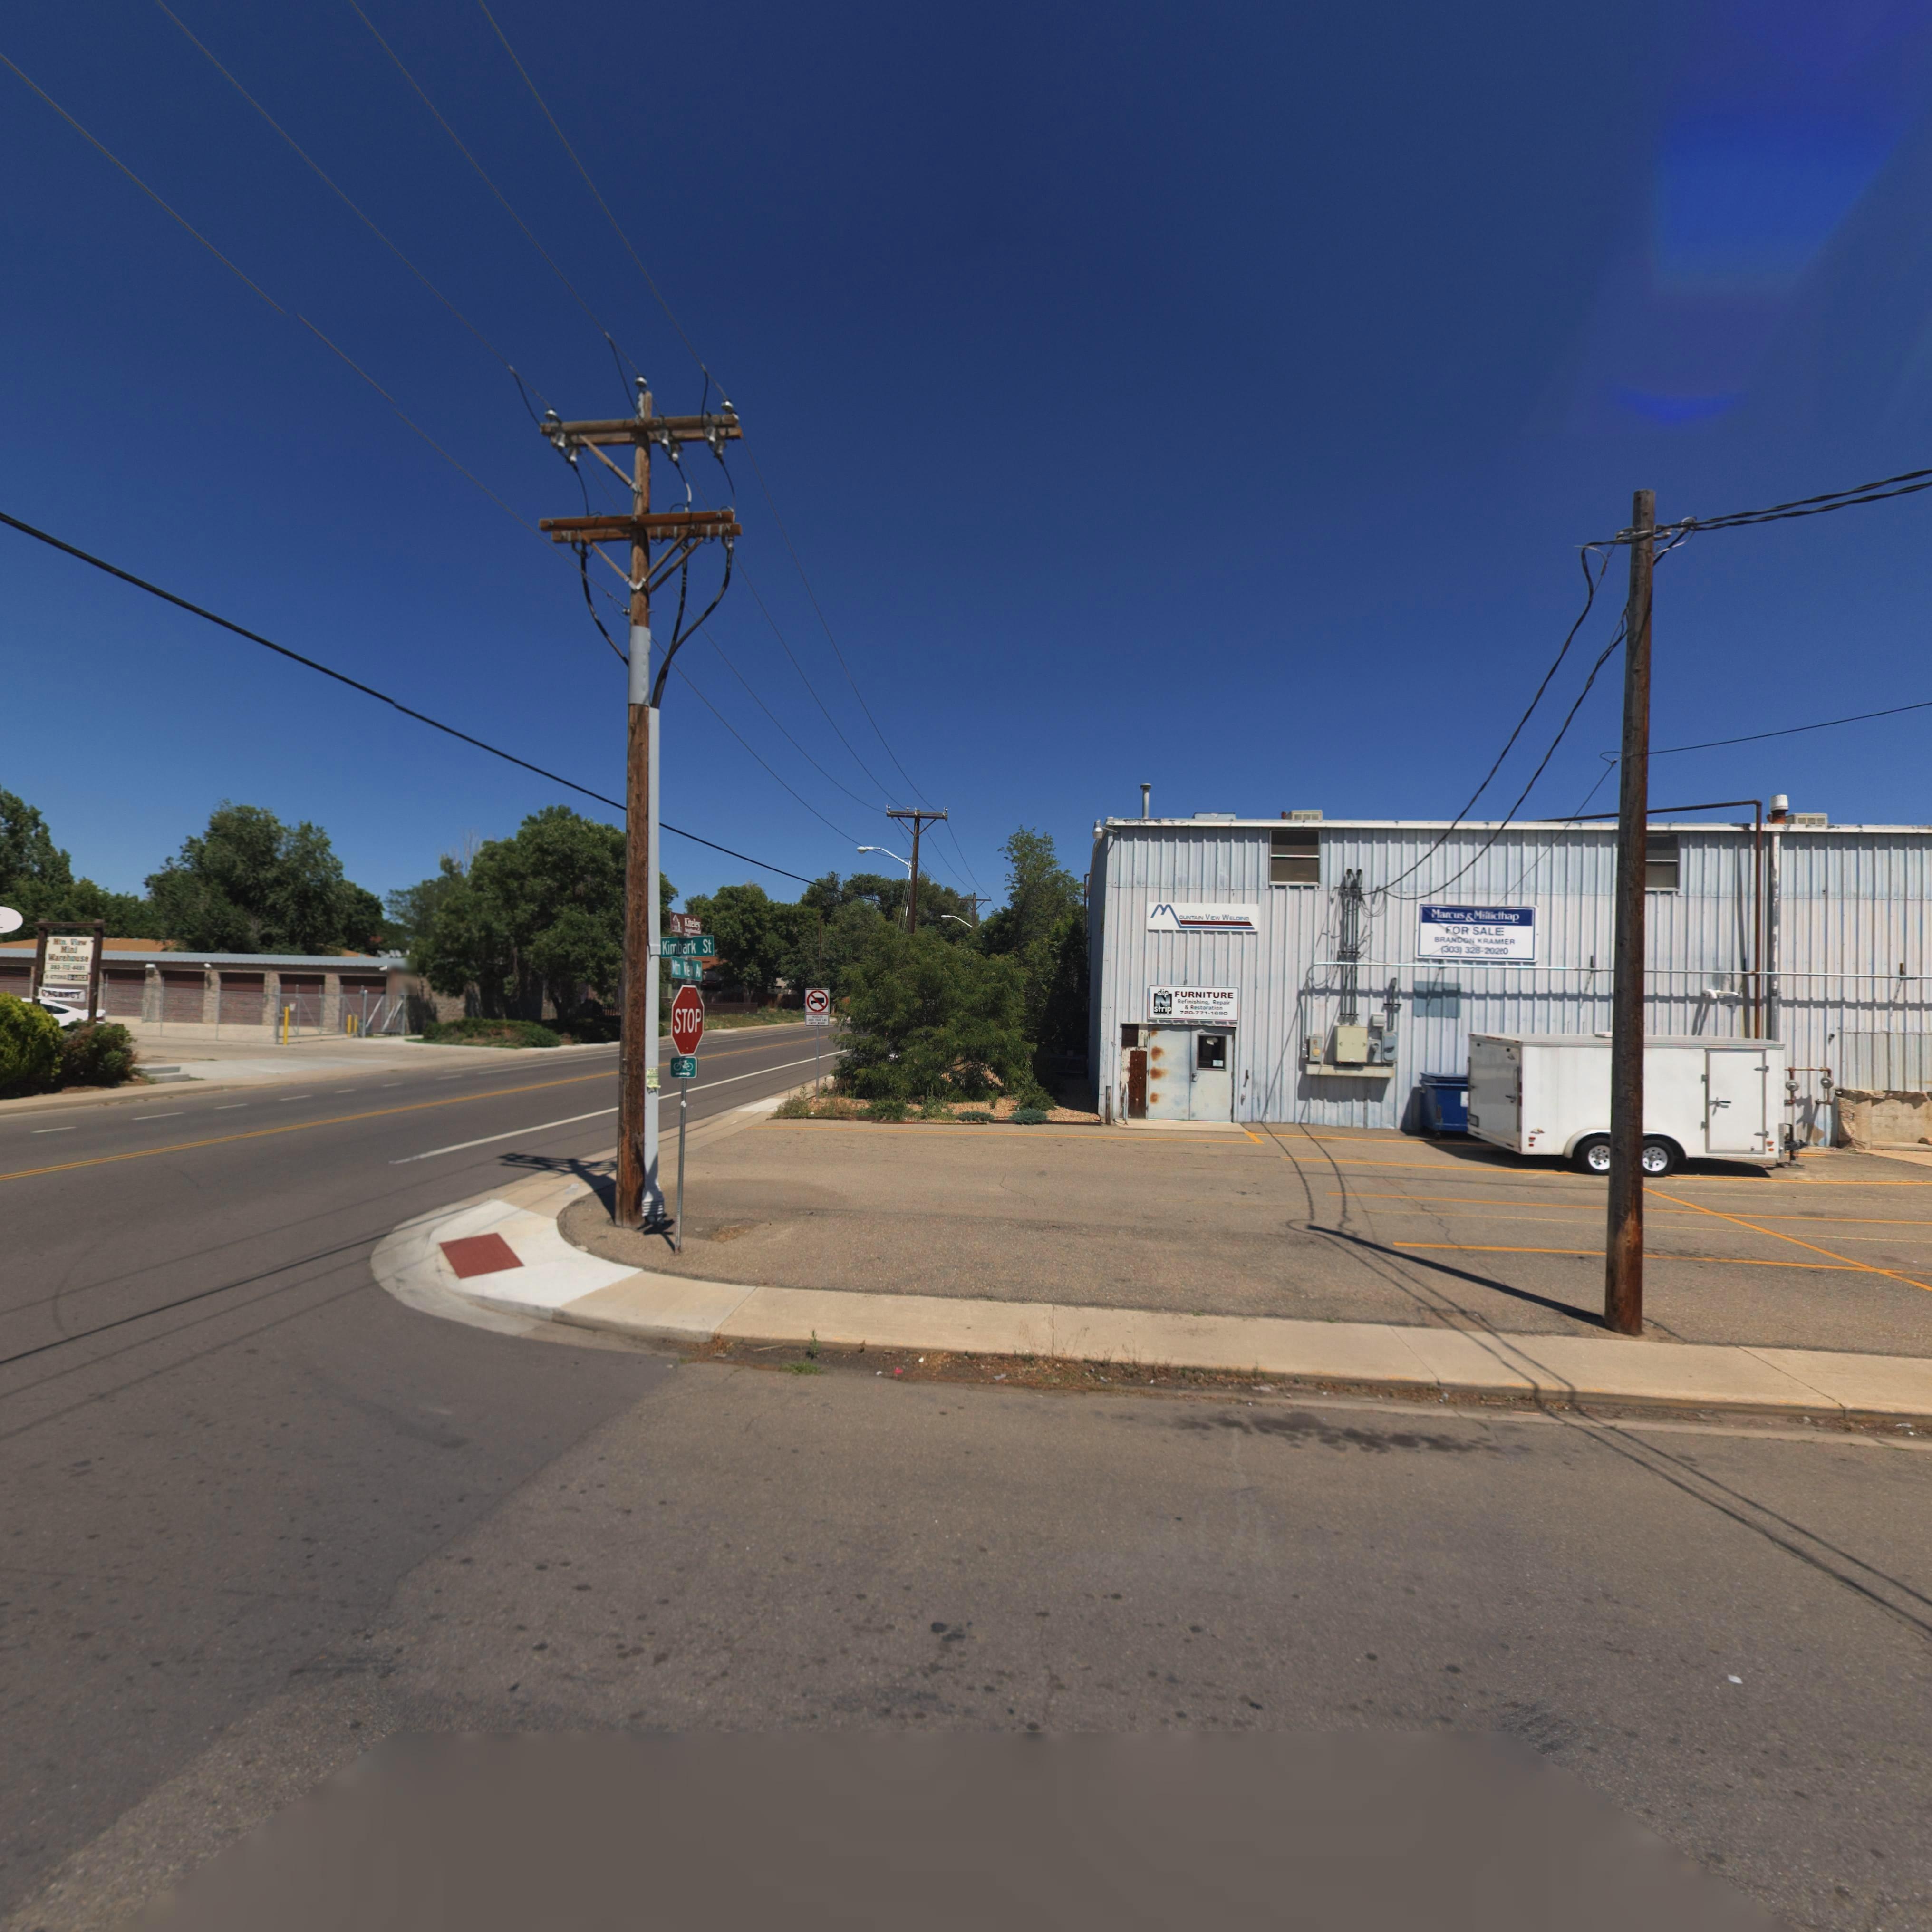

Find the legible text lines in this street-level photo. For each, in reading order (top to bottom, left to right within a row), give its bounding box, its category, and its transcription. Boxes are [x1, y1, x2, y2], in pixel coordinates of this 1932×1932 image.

[1178, 913, 1250, 921] BusinessName: OUNTAIN VIEW WELDING
[52, 937, 87, 946] BusinessName: Mtn. Vi*w
[60, 945, 77, 953] BusinessName: Mini
[662, 938, 712, 955] StreetName: Kimbark St
[47, 953, 89, 963] BusinessName: Warehouse
[671, 959, 701, 978] StreetName: Mtn Vie* Av
[1157, 988, 1169, 997] BusinessName: dip
[1174, 990, 1234, 999] BusinessName: FURNITURE
[1154, 1005, 1171, 1014] BusinessName: strip